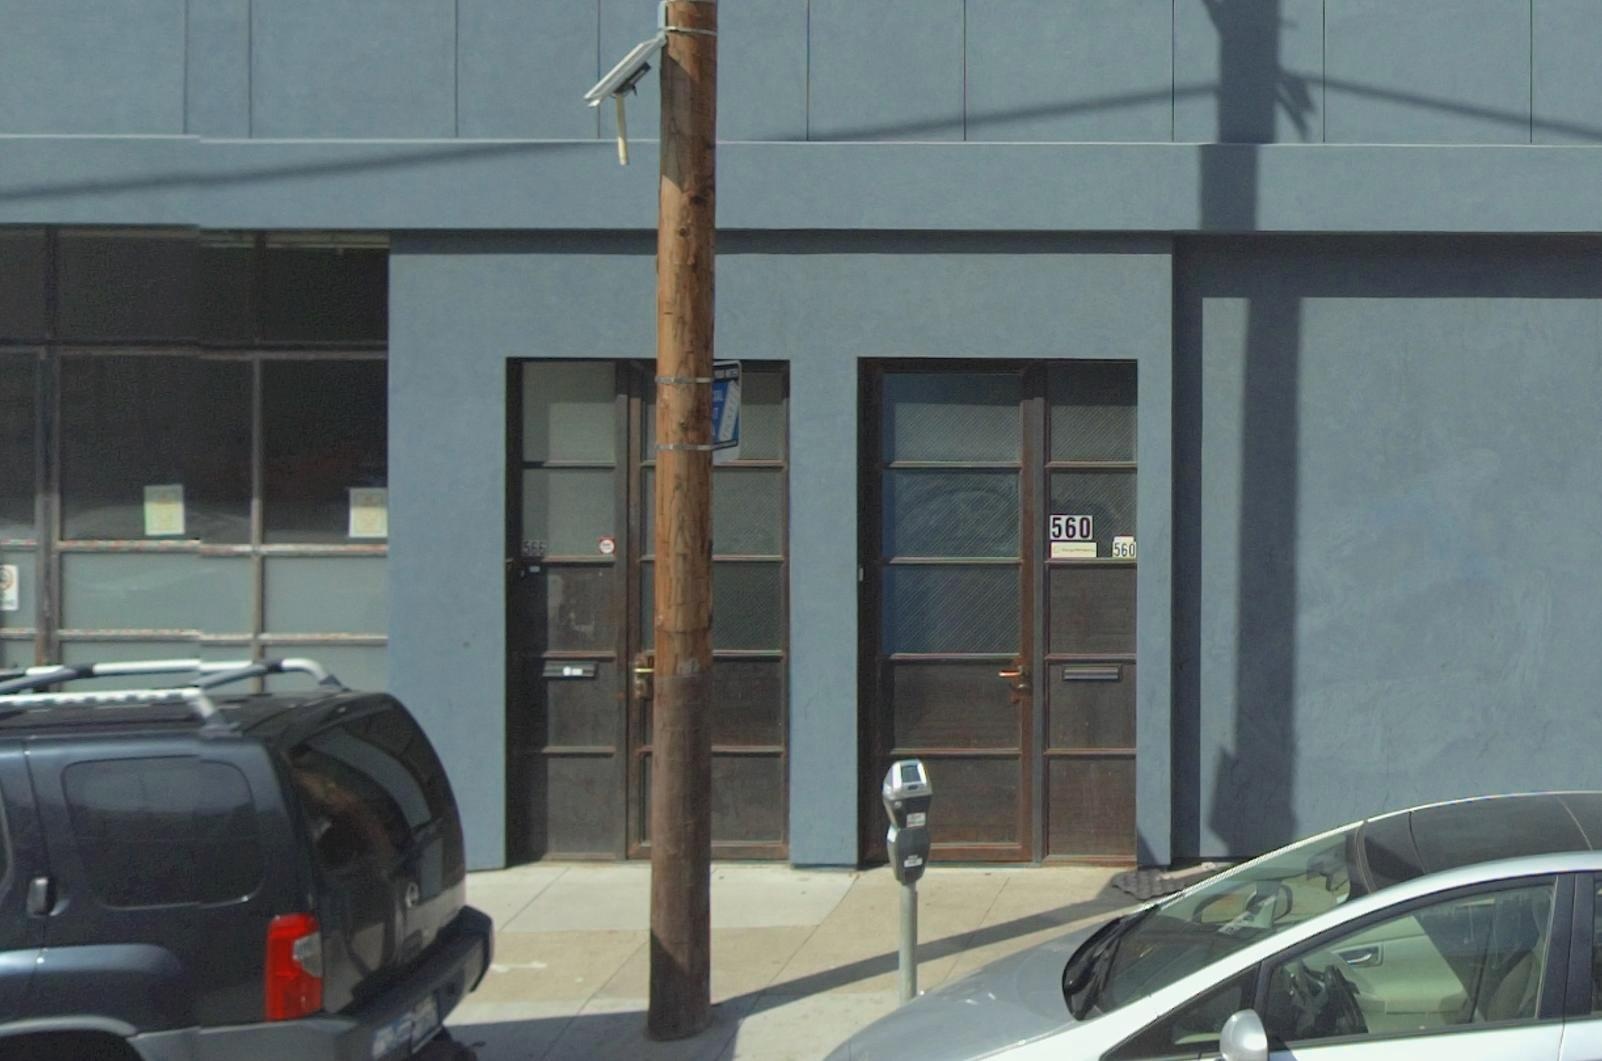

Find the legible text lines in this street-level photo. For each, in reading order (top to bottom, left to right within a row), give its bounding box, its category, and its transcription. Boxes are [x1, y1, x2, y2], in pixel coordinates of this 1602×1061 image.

[1049, 513, 1093, 541] StreetNumber: 560
[519, 539, 550, 558] StreetNumber: 566
[1112, 540, 1138, 561] StreetNumber: 560